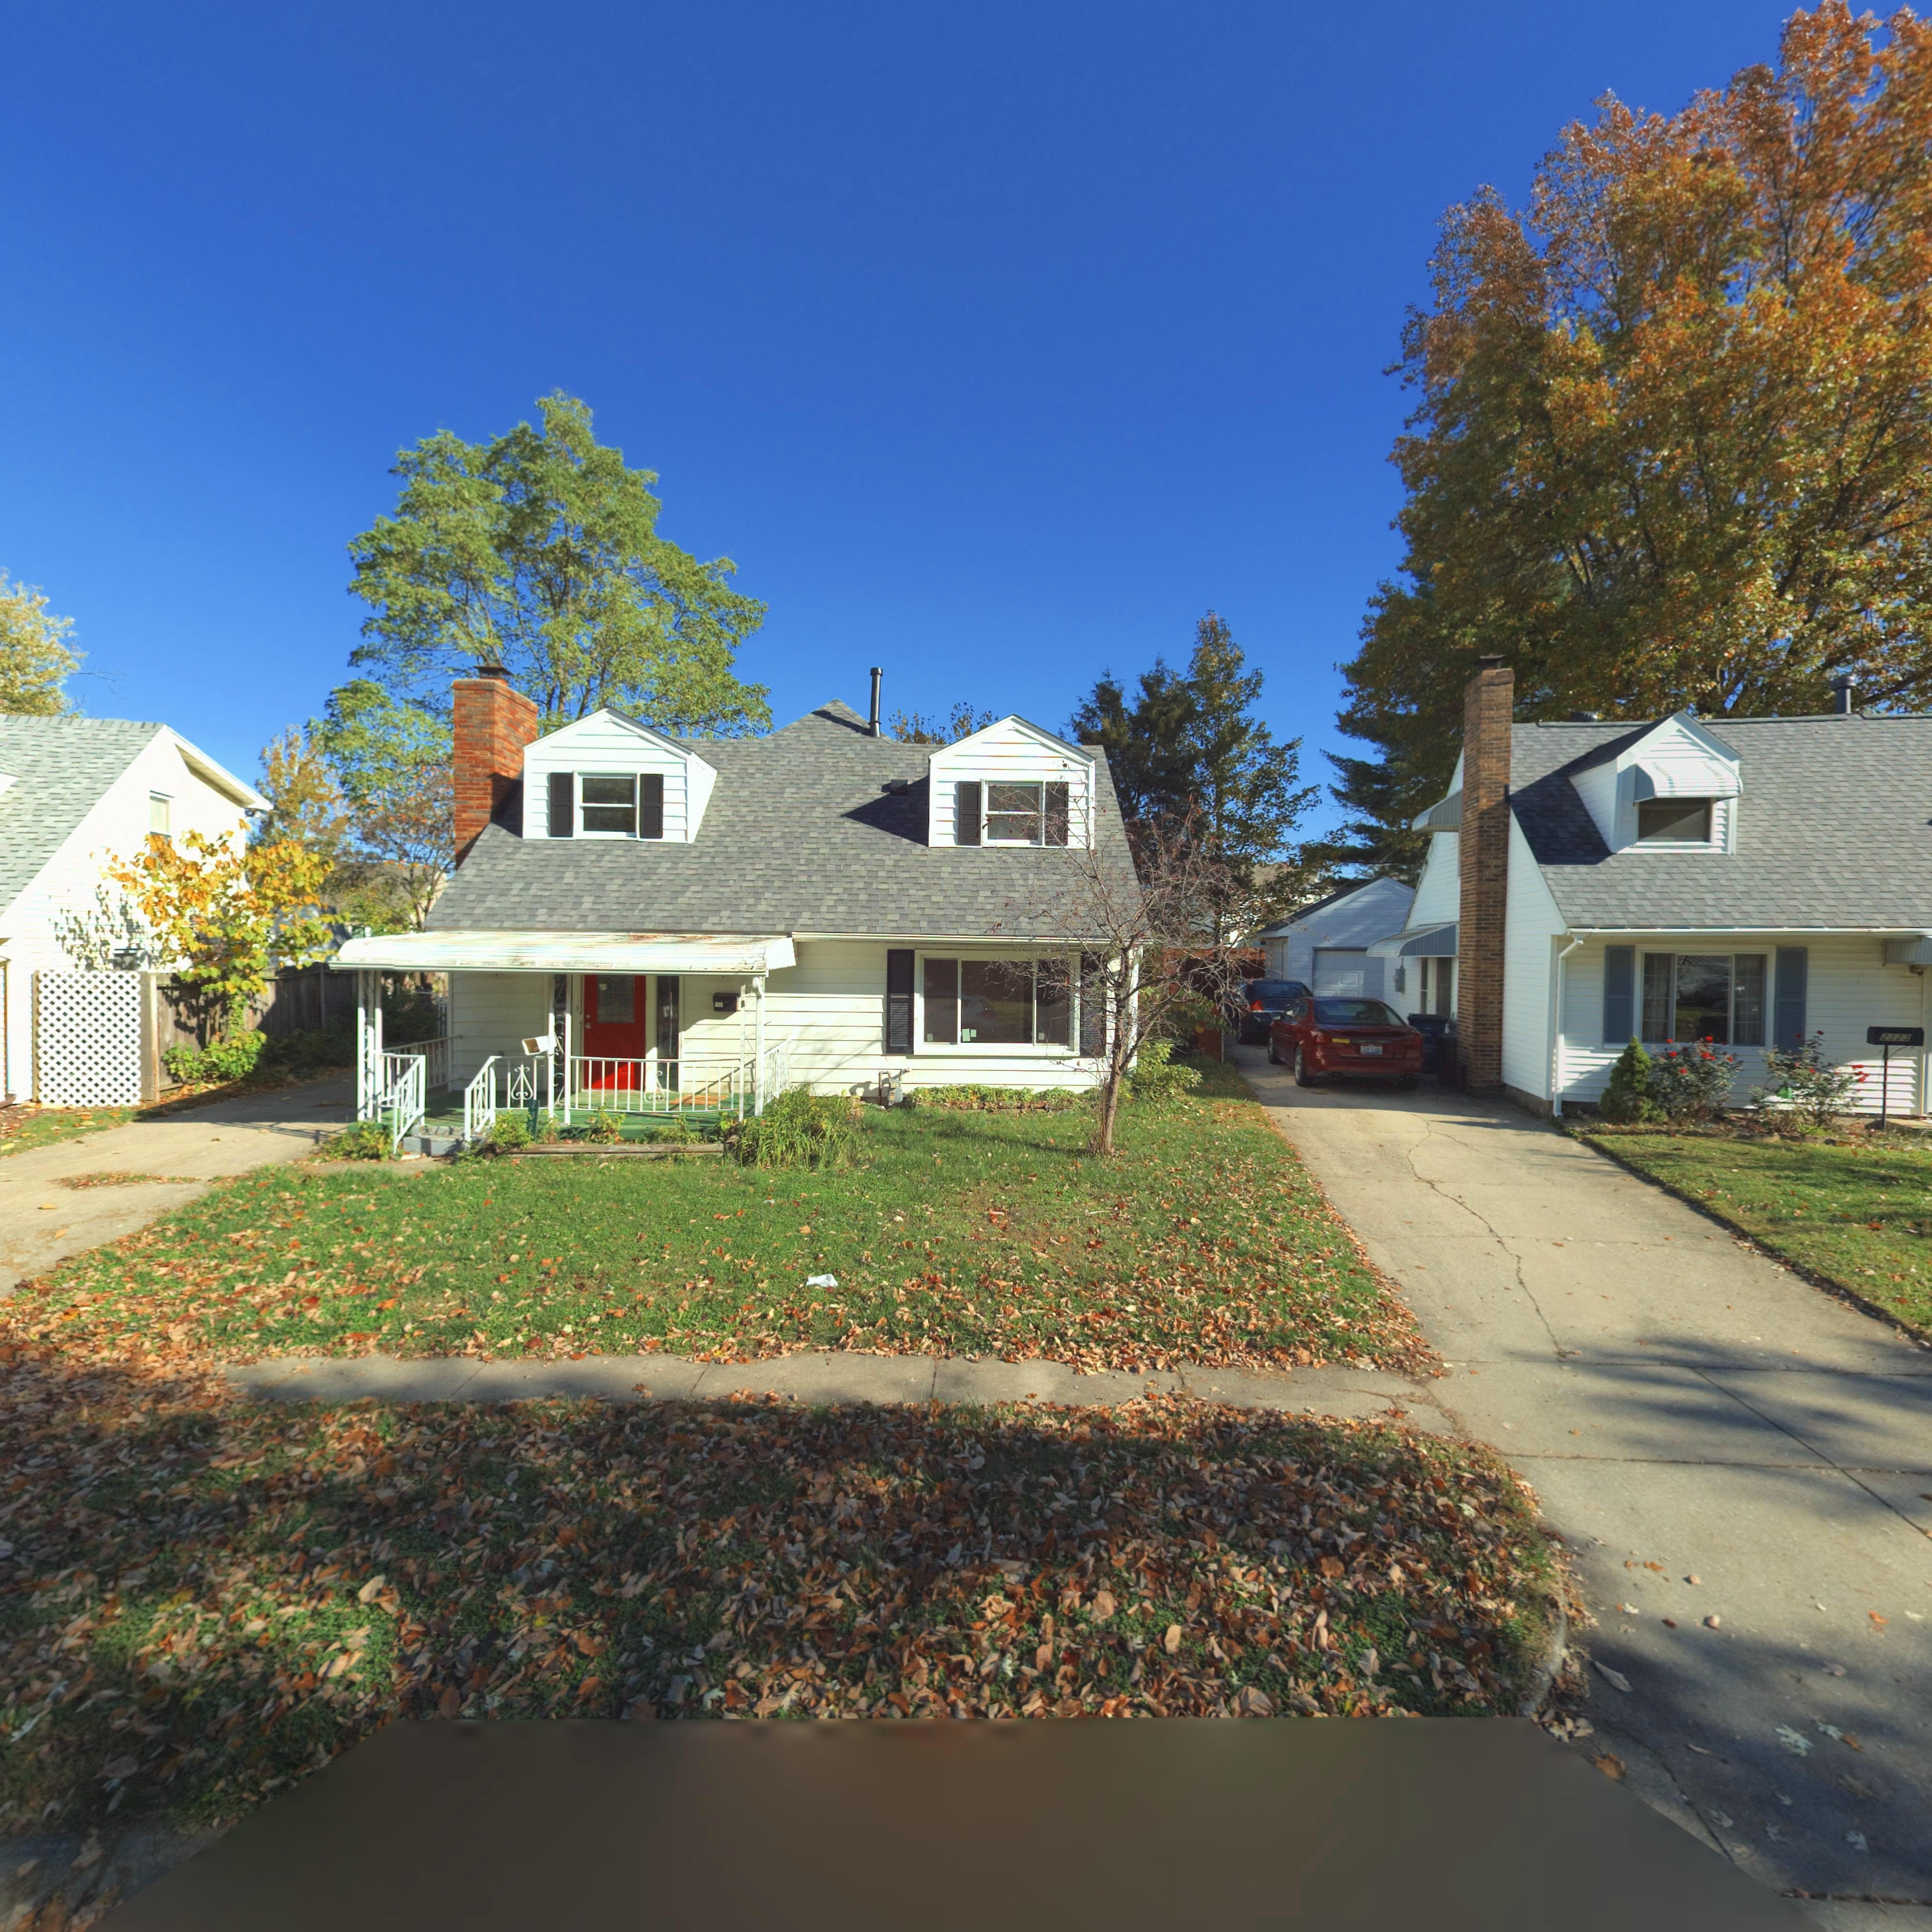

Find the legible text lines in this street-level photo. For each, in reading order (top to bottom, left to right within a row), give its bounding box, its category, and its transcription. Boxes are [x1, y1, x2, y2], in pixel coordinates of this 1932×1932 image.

[1880, 1032, 1911, 1042] StreetNumber: 2323
[527, 1099, 537, 1130] StreetNumber: 232